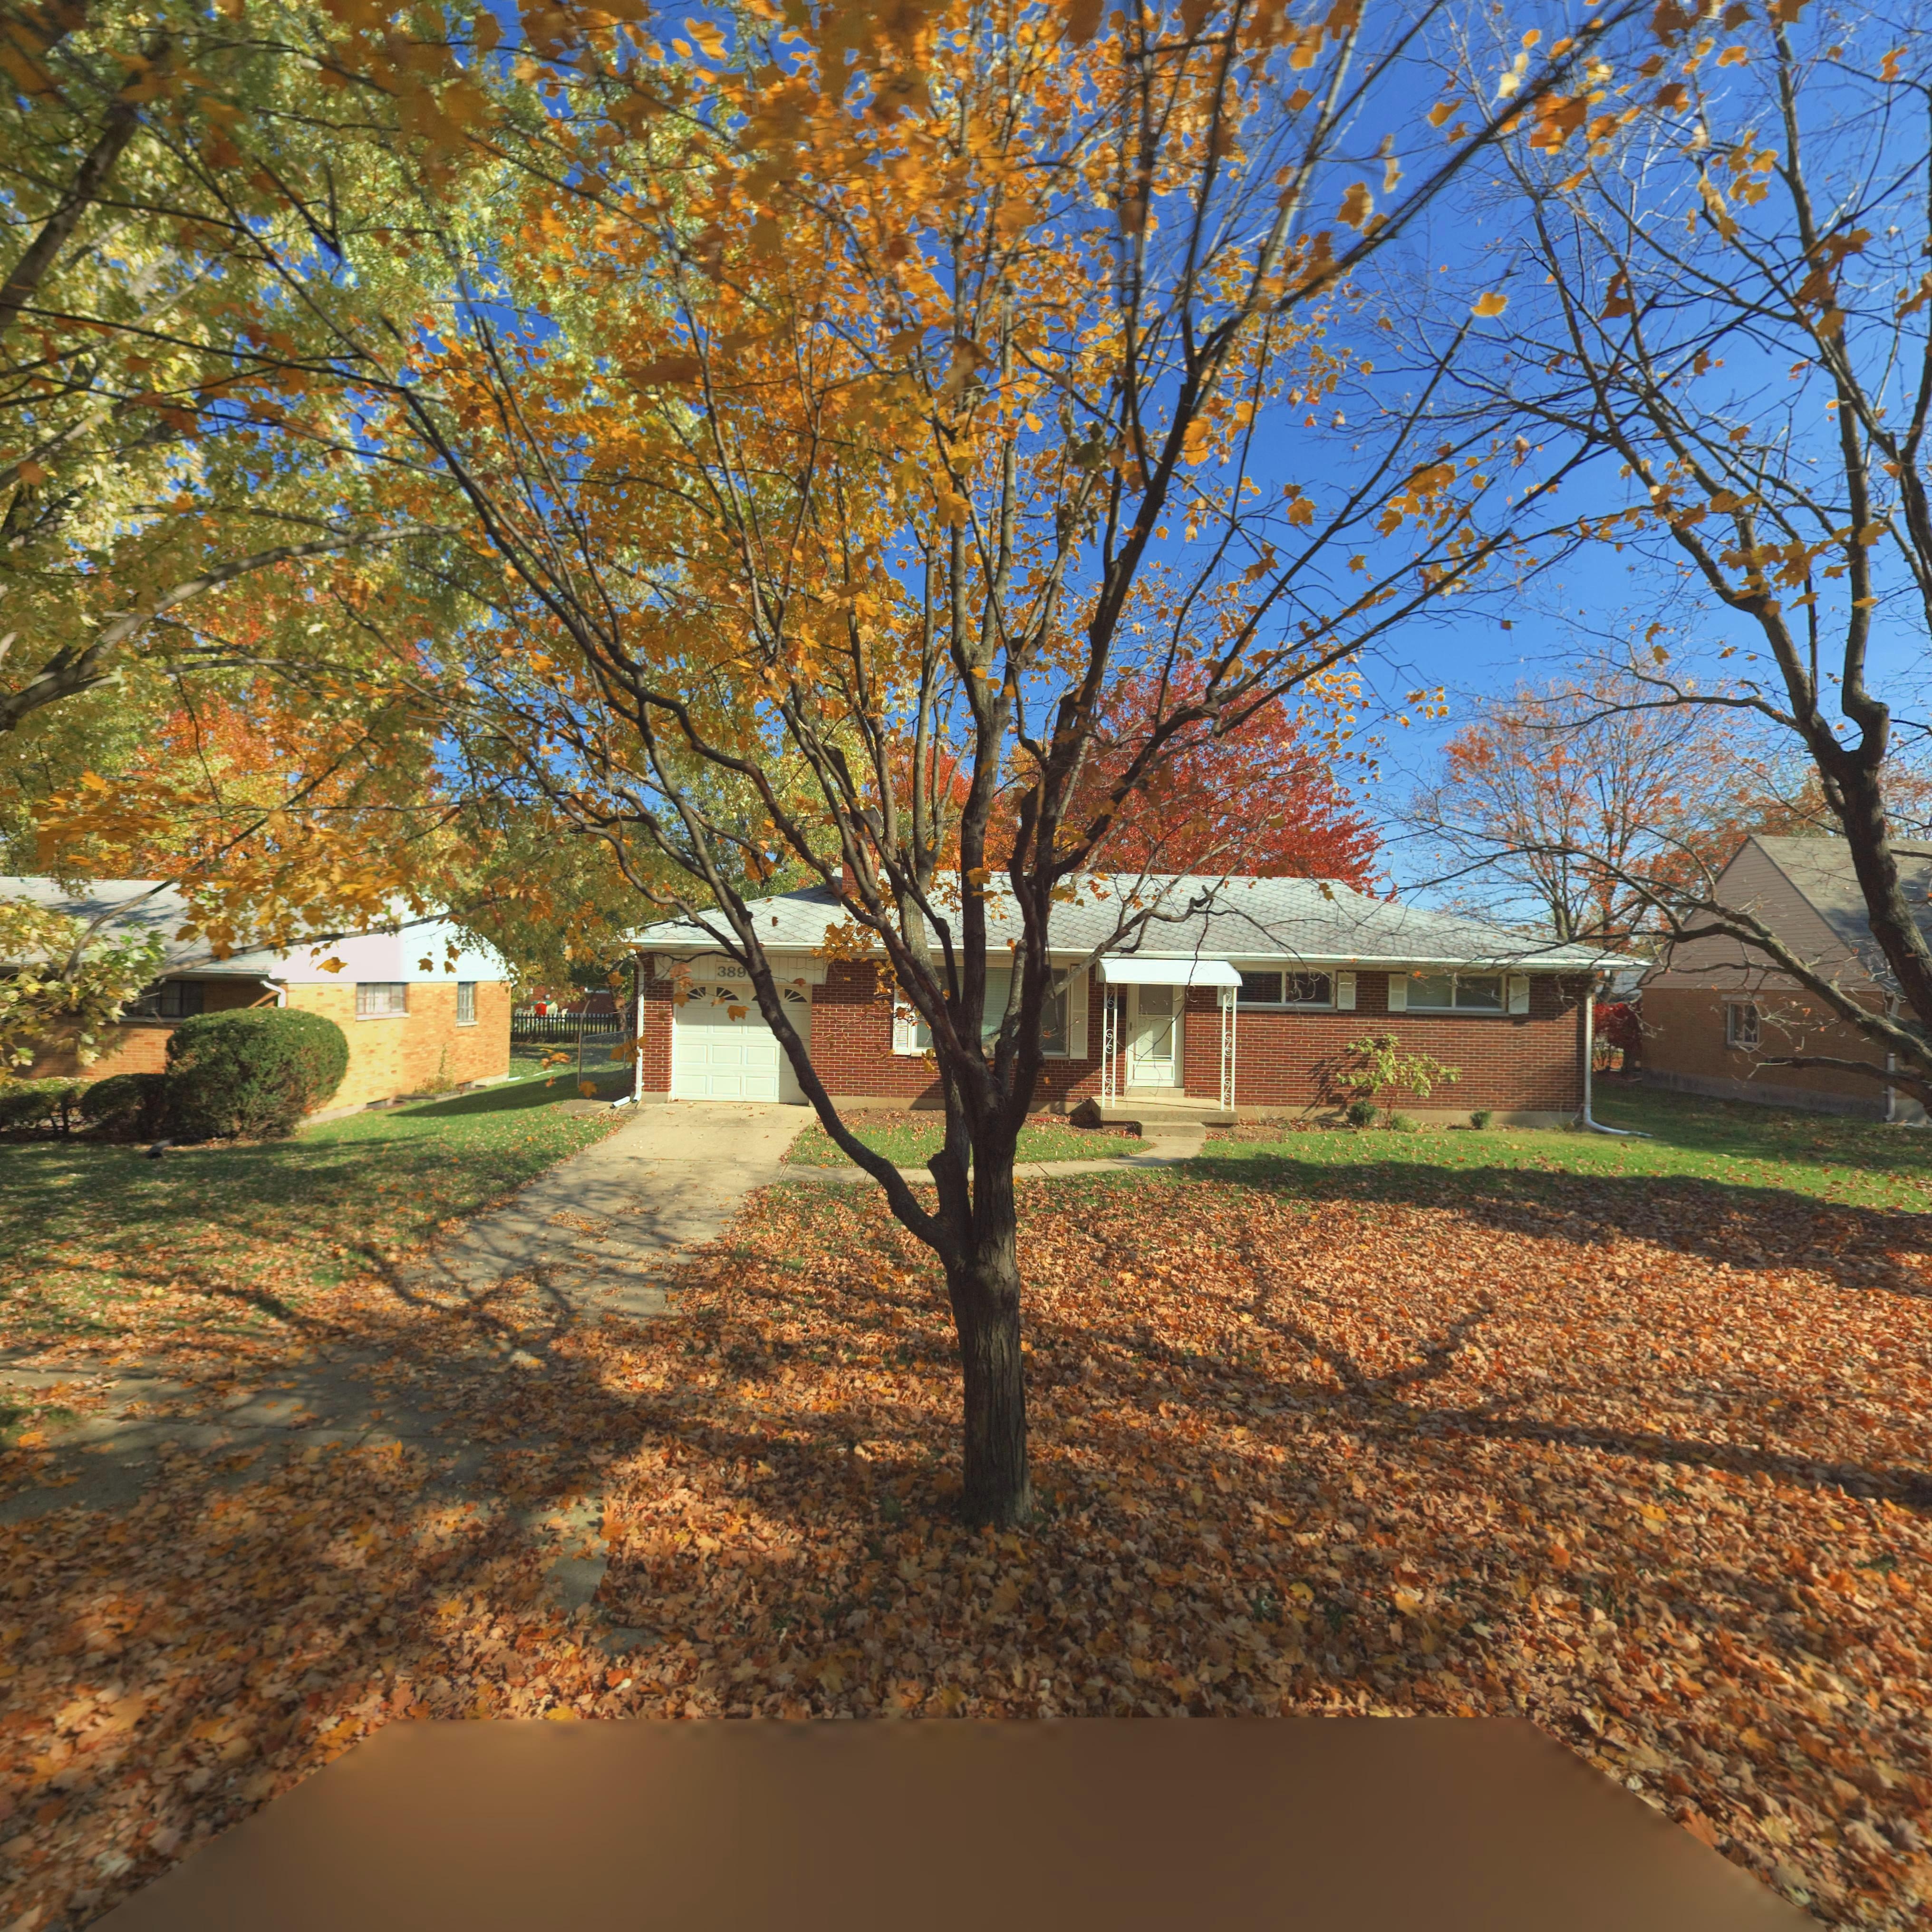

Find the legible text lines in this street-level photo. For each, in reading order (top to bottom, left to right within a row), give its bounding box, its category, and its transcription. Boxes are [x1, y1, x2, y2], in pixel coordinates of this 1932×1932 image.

[716, 965, 747, 979] StreetNumber: 389